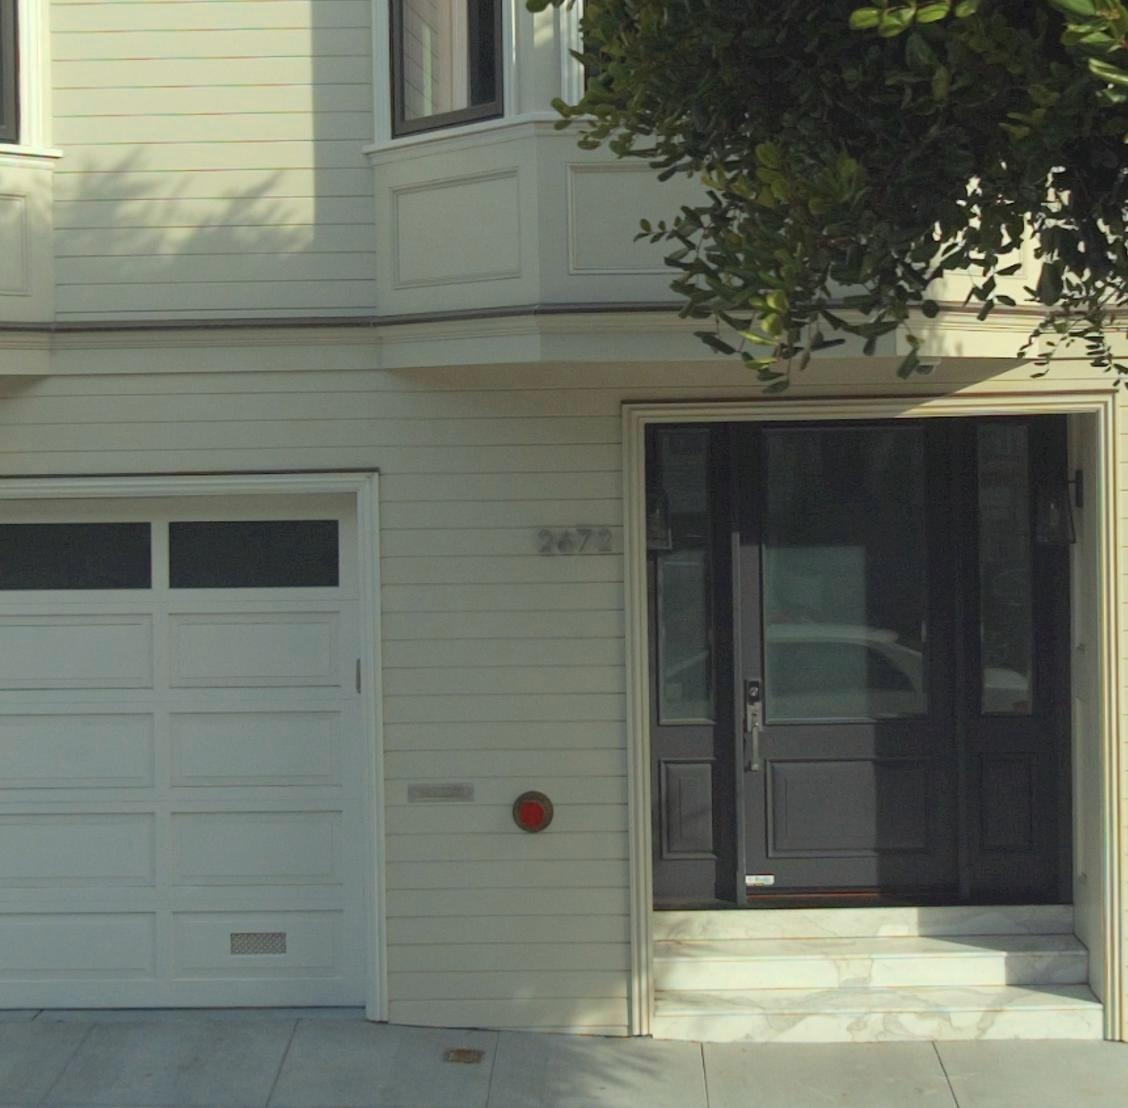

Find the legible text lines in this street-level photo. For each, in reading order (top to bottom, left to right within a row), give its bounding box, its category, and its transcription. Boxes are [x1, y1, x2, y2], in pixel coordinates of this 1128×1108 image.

[536, 526, 615, 556] StreetNumber: 2672